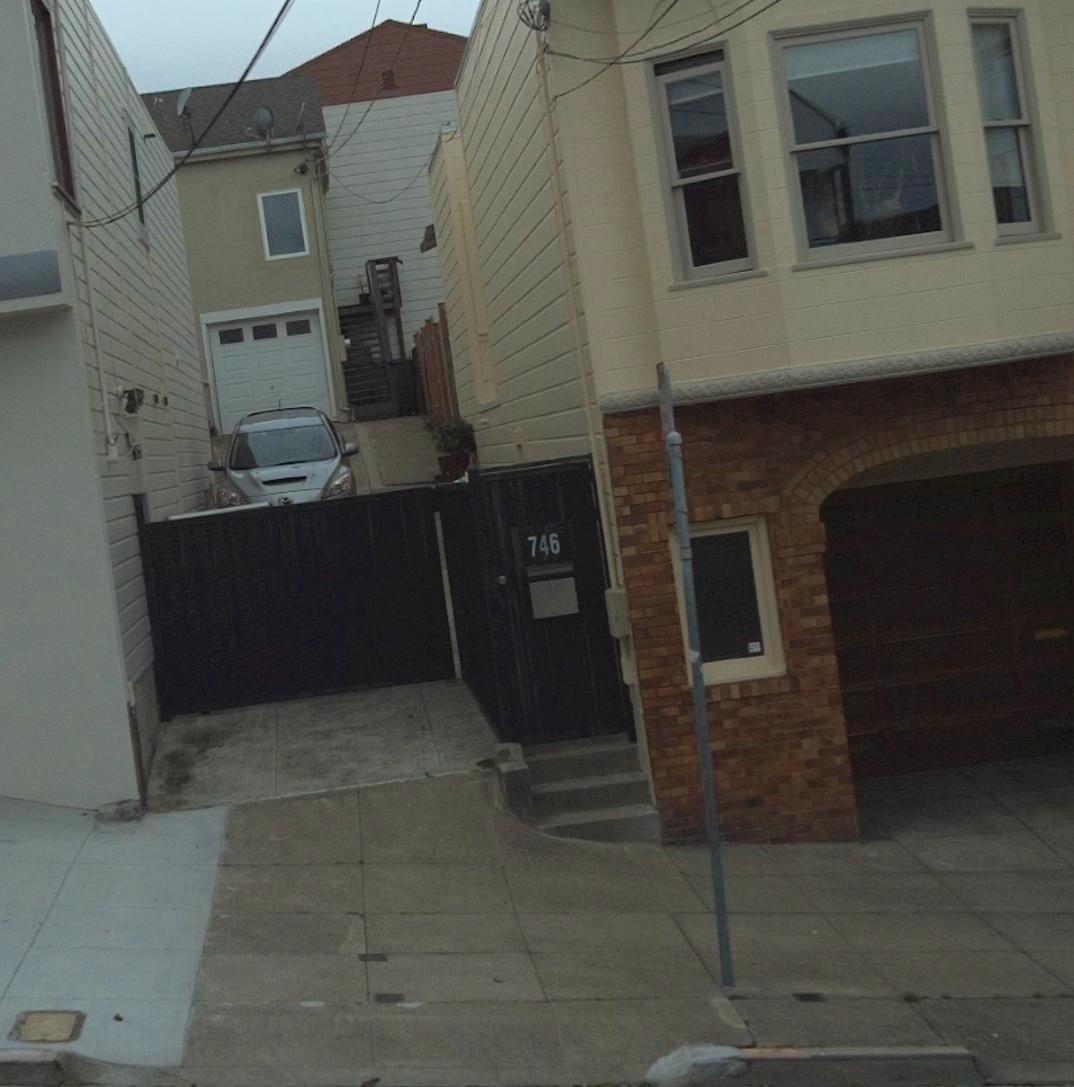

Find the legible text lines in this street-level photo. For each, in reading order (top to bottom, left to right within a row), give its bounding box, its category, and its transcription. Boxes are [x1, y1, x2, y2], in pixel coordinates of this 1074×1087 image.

[526, 531, 562, 558] StreetNumber: 746